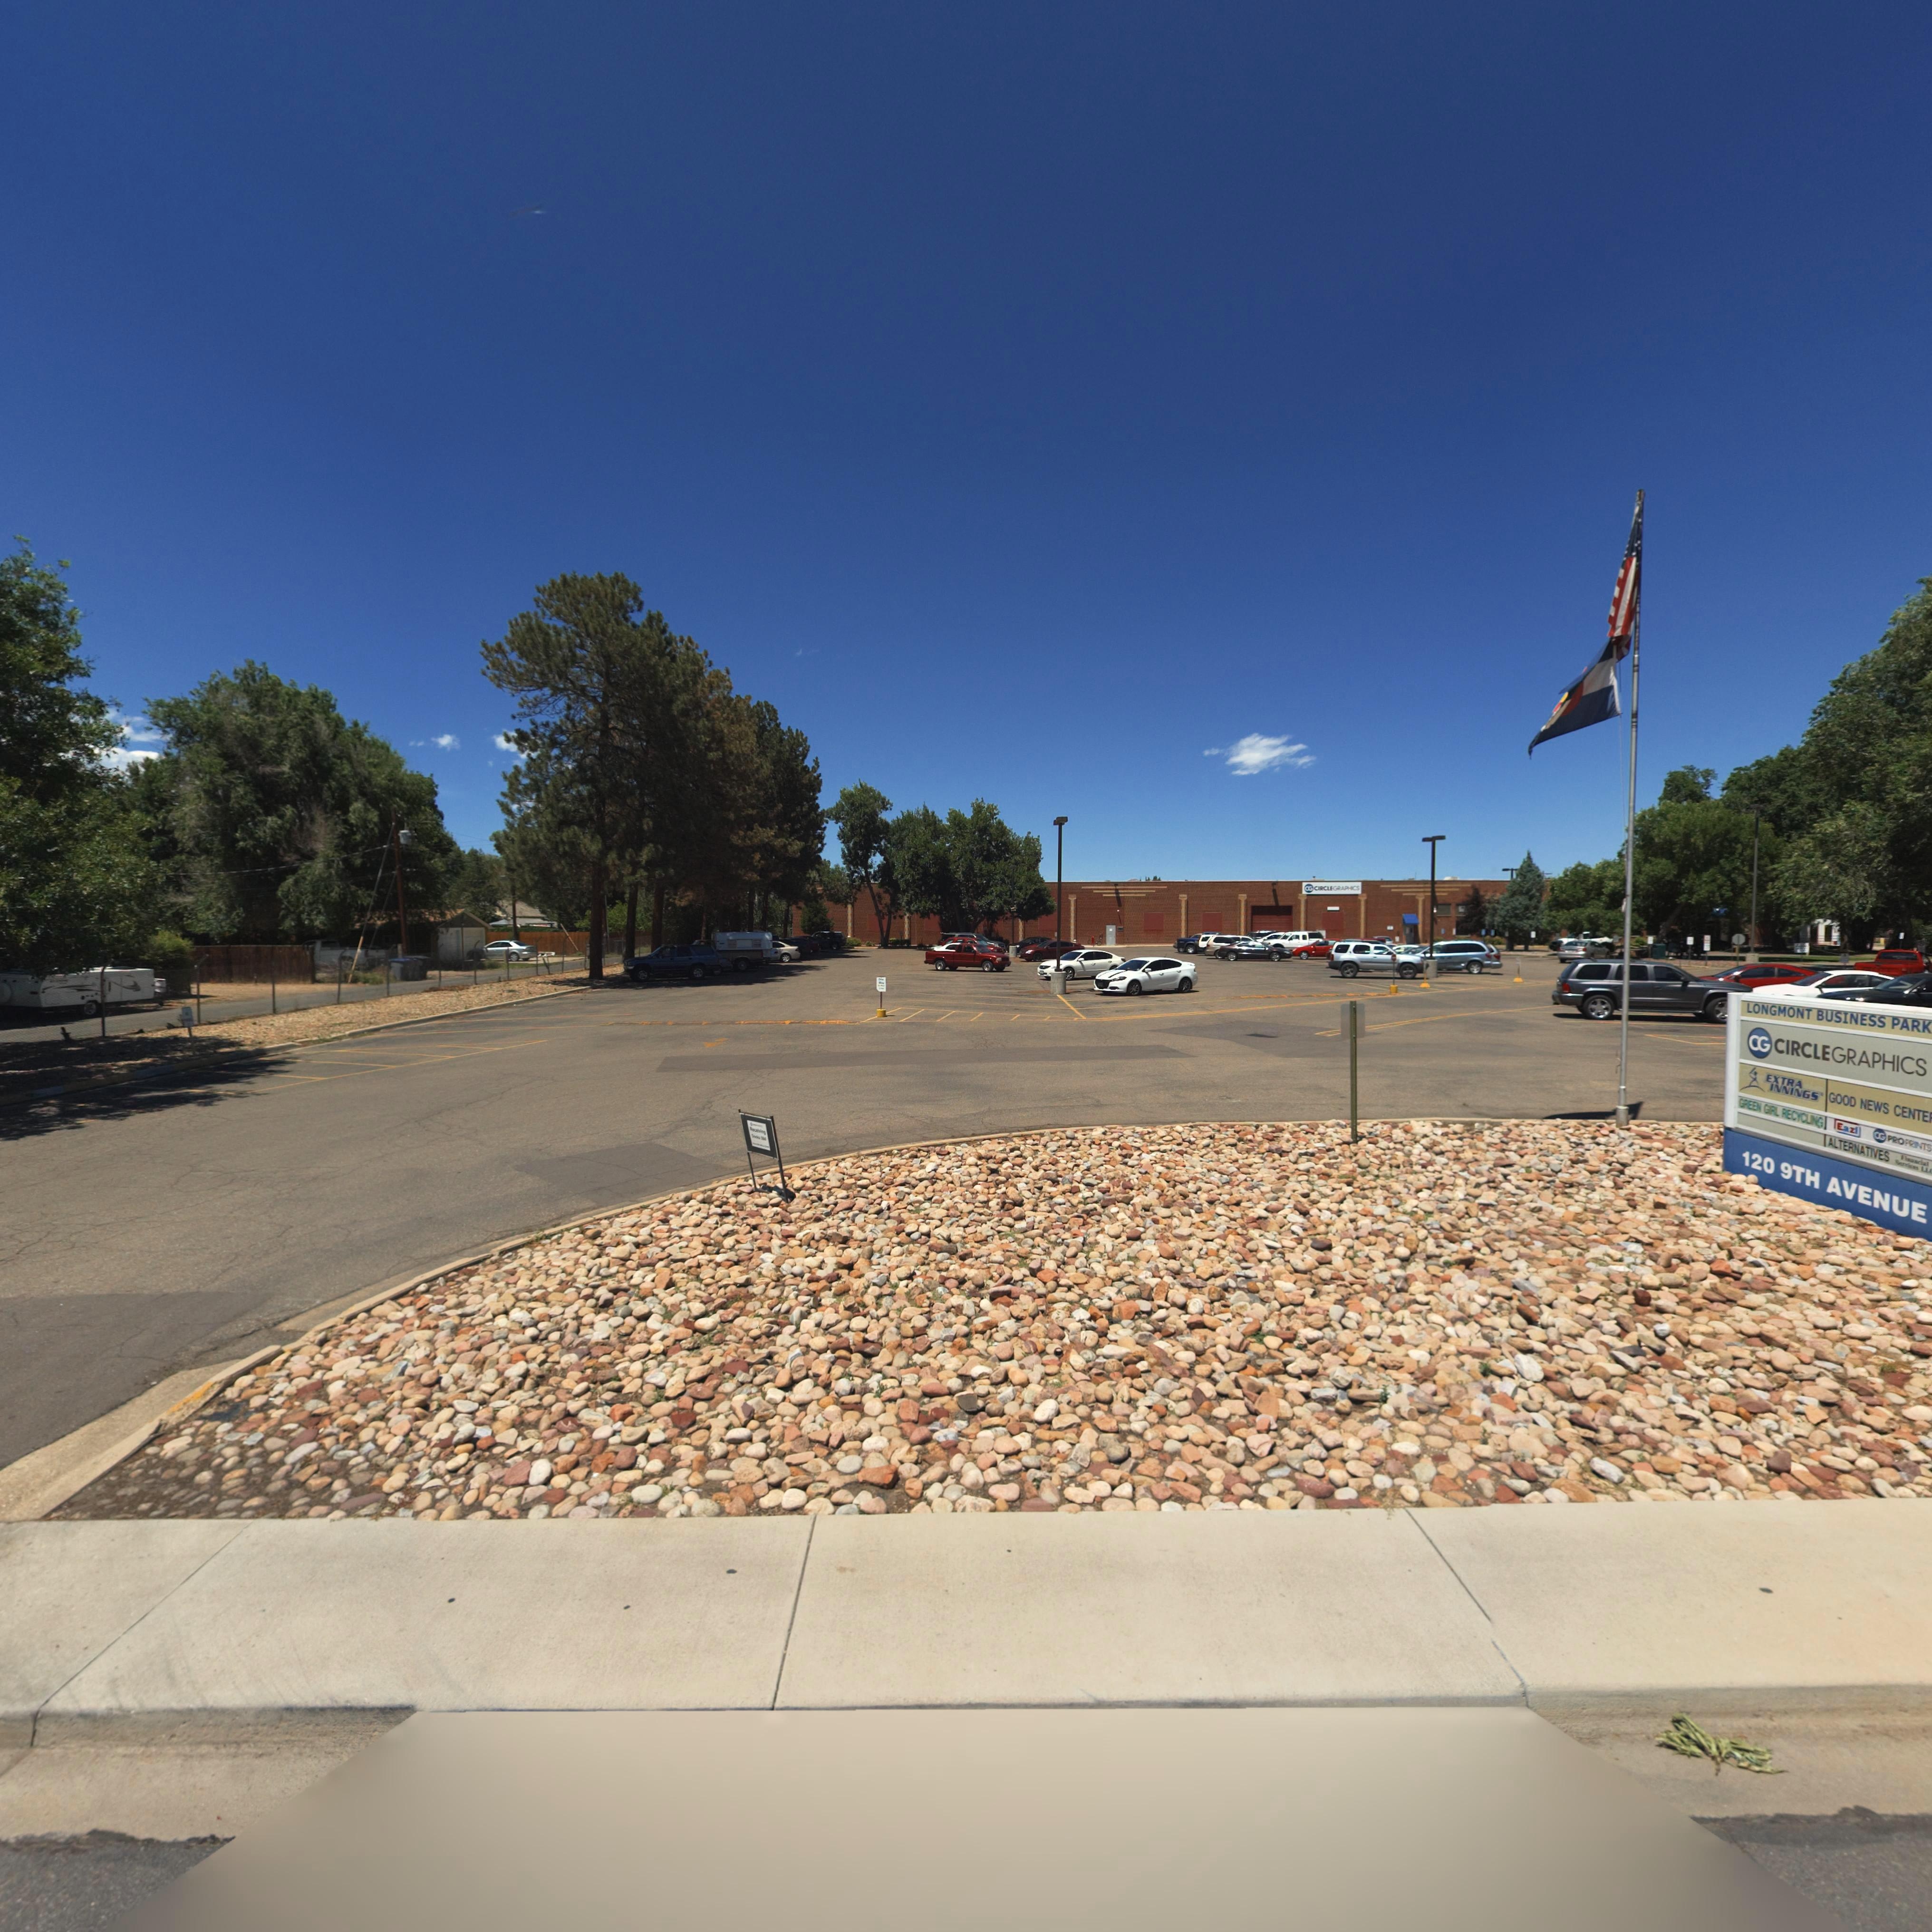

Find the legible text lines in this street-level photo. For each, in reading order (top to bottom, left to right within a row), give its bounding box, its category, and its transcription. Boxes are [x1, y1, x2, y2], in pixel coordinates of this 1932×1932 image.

[1314, 885, 1359, 890] BusinessName: CIRCLEGRAPHICS
[1773, 1037, 1927, 1077] BusinessName: CIRCLEGRAPHICS
[1766, 1074, 1802, 1089] BusinessName: EXTRA
[1769, 1083, 1819, 1101] BusinessName: INNINGS
[1739, 1098, 1824, 1128] BusinessName: GREEN GIRL RECYCLING
[1828, 1092, 1929, 1123] BusinessName: GOOD NEWS CENTE
[1827, 1137, 1890, 1162] BusinessName: ALTERNATIVES
[1741, 1150, 1775, 1174] StreetNumber: 120
[1779, 1161, 1927, 1225] StreetName: 9TH AVENUE